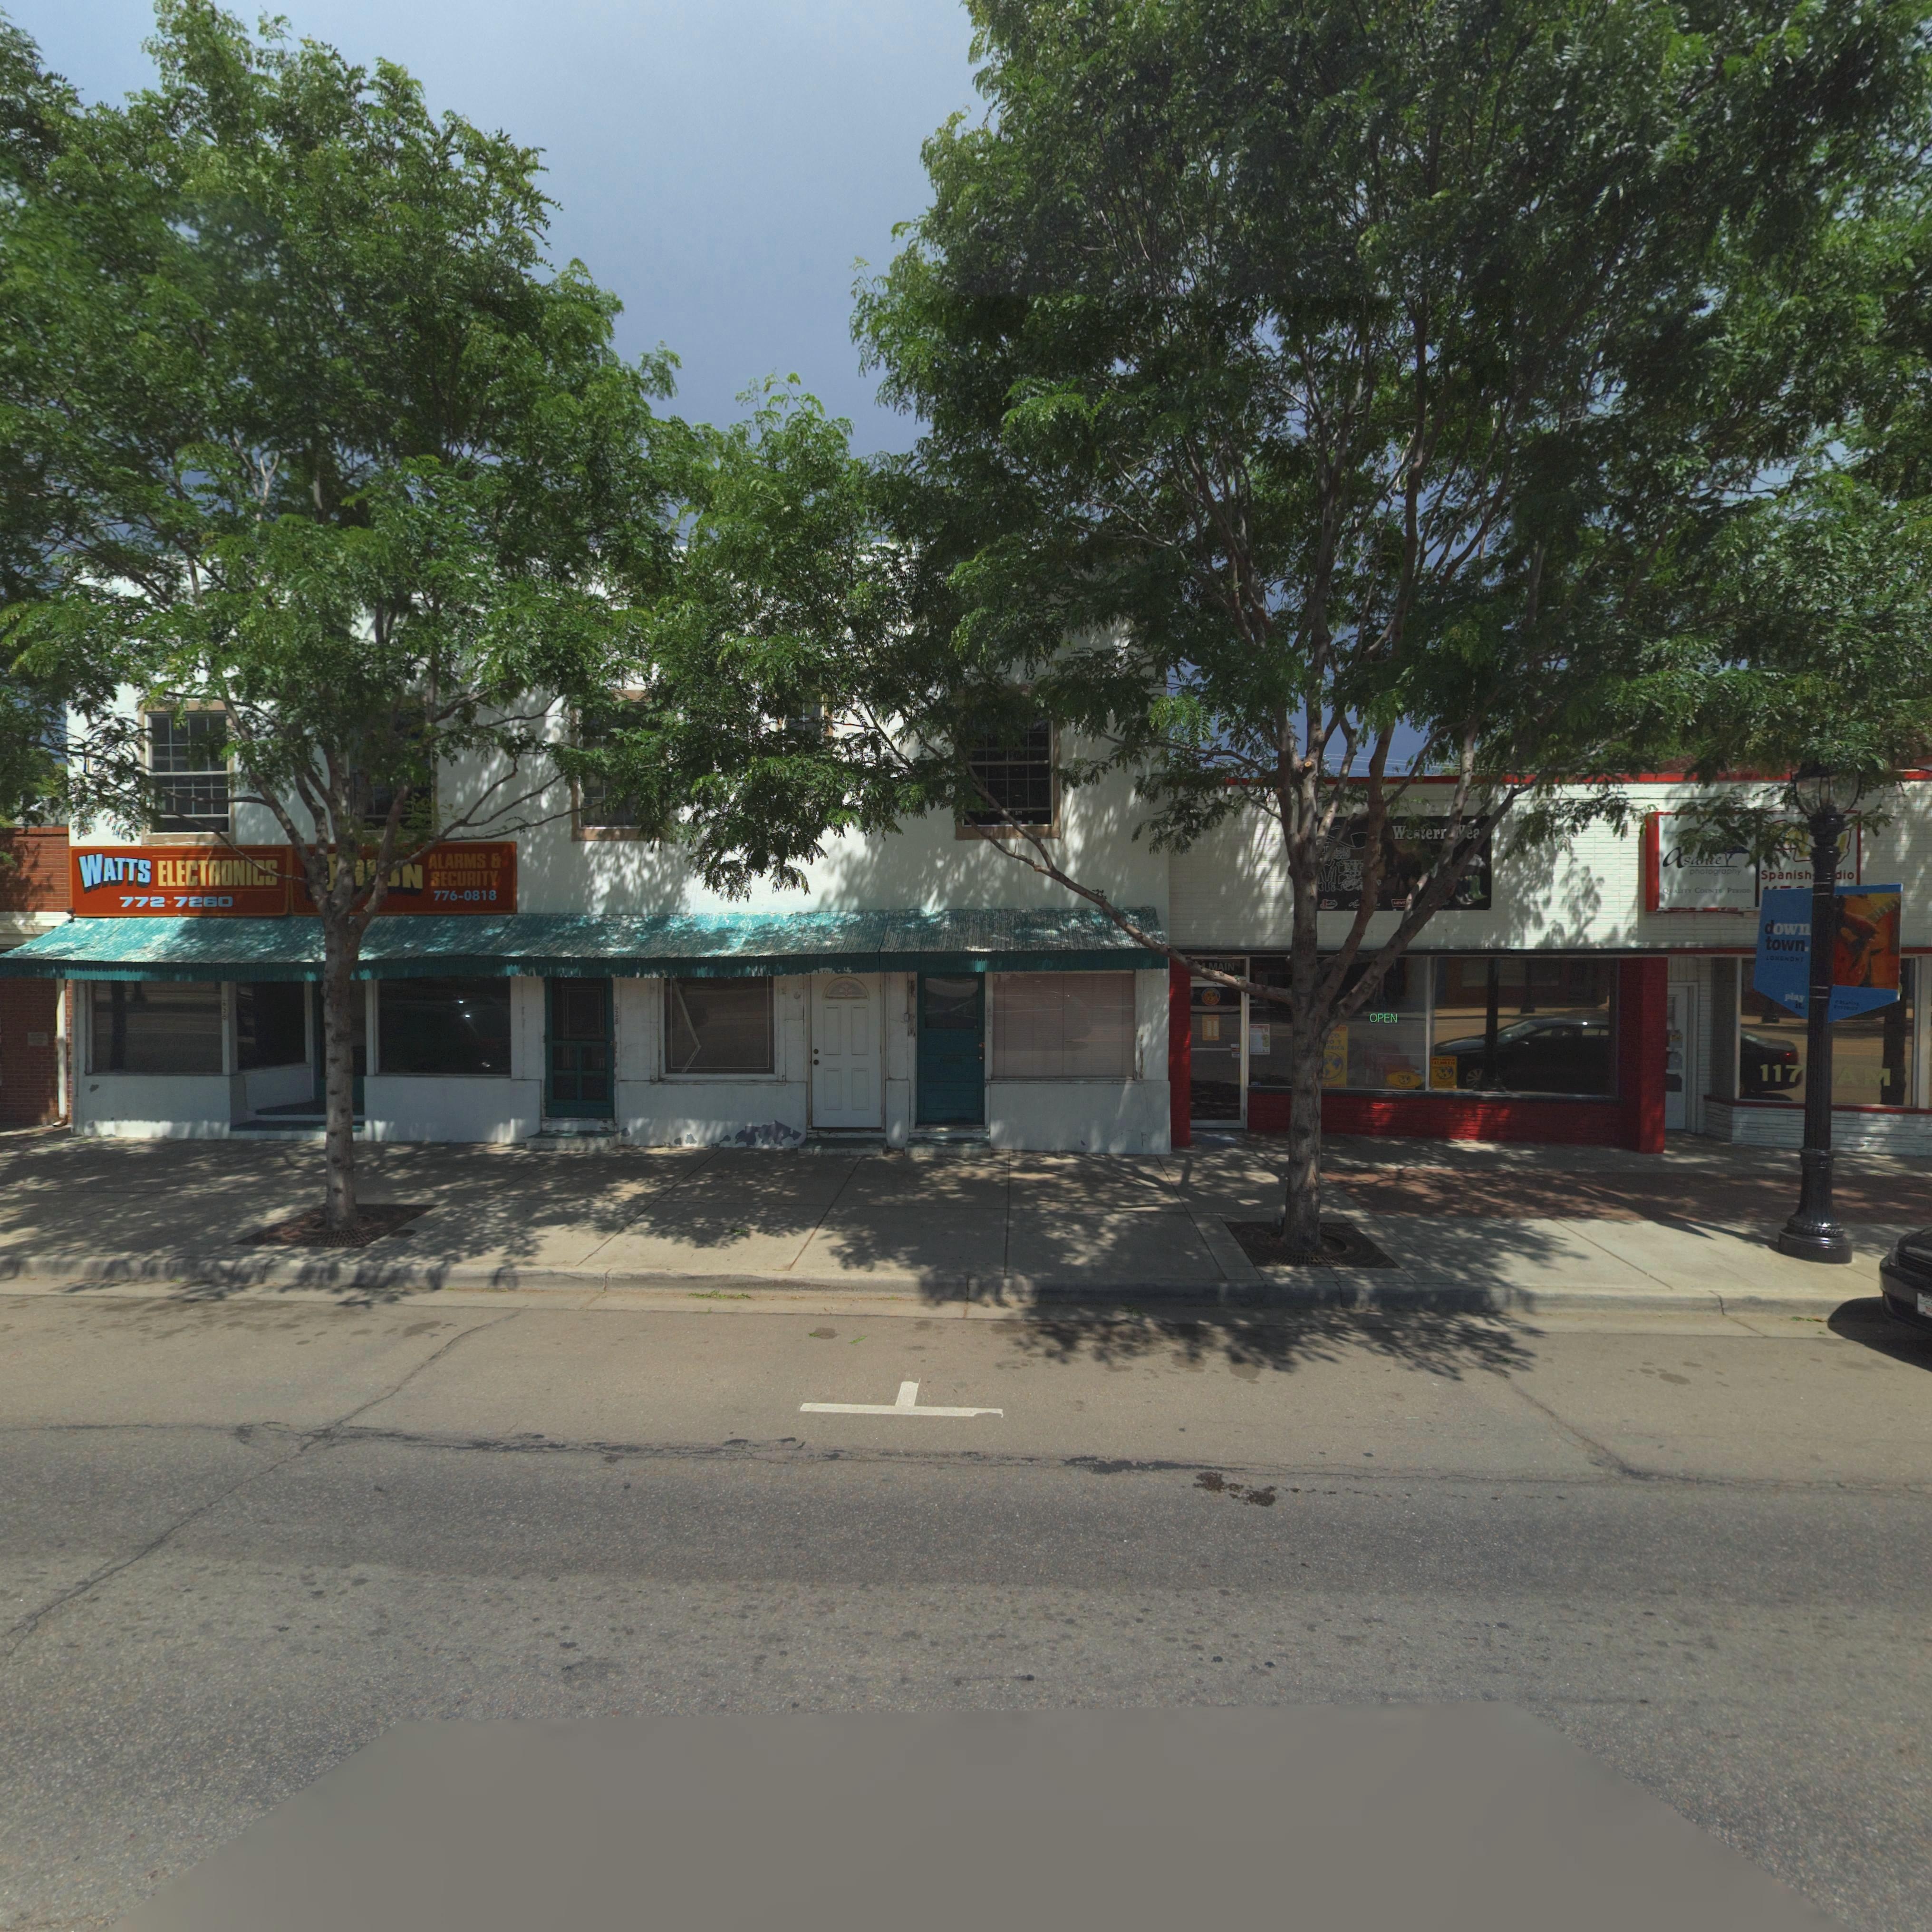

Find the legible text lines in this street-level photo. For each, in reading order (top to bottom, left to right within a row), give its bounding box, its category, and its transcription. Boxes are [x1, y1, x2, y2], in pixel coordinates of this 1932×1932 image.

[78, 852, 151, 888] BusinessName: WATTS
[157, 860, 277, 887] BusinessName: ELECTRONICS
[311, 852, 423, 892] BusinessName: ****N
[428, 852, 502, 869] BusinessName: ALARMS &
[431, 870, 499, 887] BusinessName: SECURITY
[1330, 847, 1351, 858] BusinessName: *TA*
[1319, 857, 1364, 892] BusinessName: MEX*
[1662, 846, 1722, 869] BusinessName: asante
[1689, 868, 1742, 877] BusinessName: photography
[1208, 962, 1234, 971] StreetName: MAIN
[222, 1000, 227, 1020] StreetNumber: 630
[615, 1003, 618, 1024] StreetNumber: 628